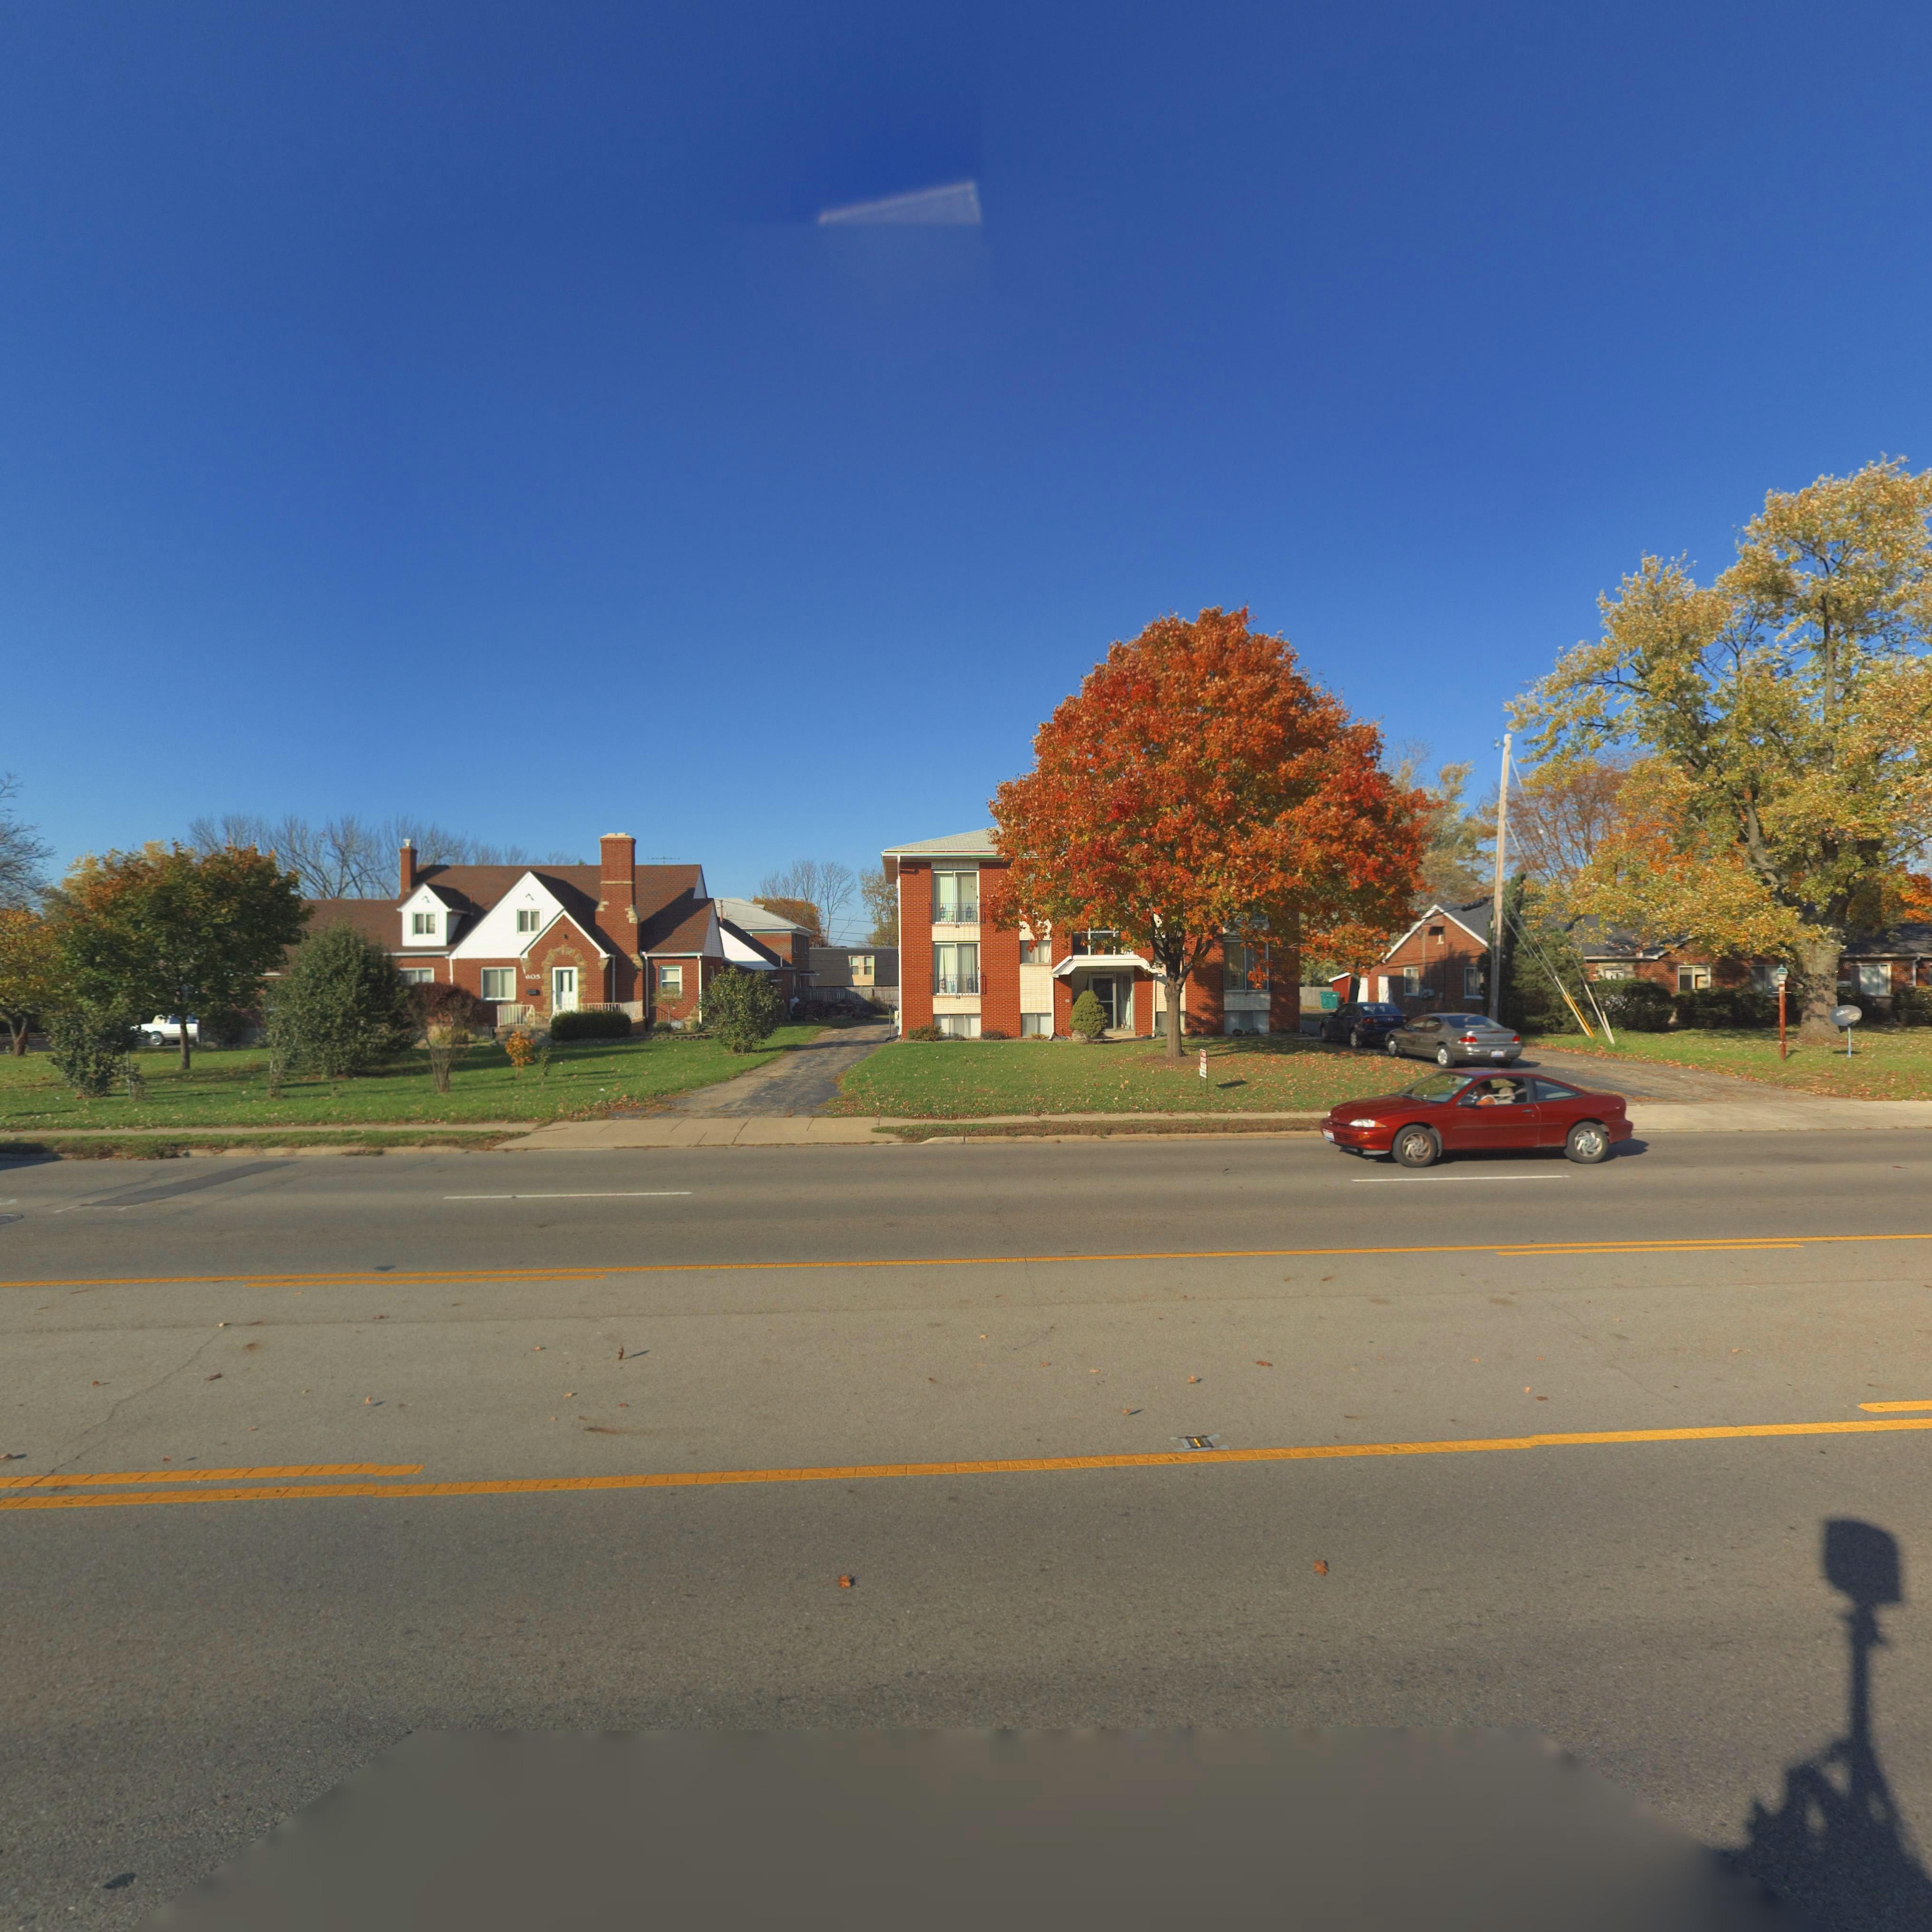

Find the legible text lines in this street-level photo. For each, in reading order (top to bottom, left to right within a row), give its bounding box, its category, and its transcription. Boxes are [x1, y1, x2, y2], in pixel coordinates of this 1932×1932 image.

[525, 974, 541, 980] StreetNumber: 605